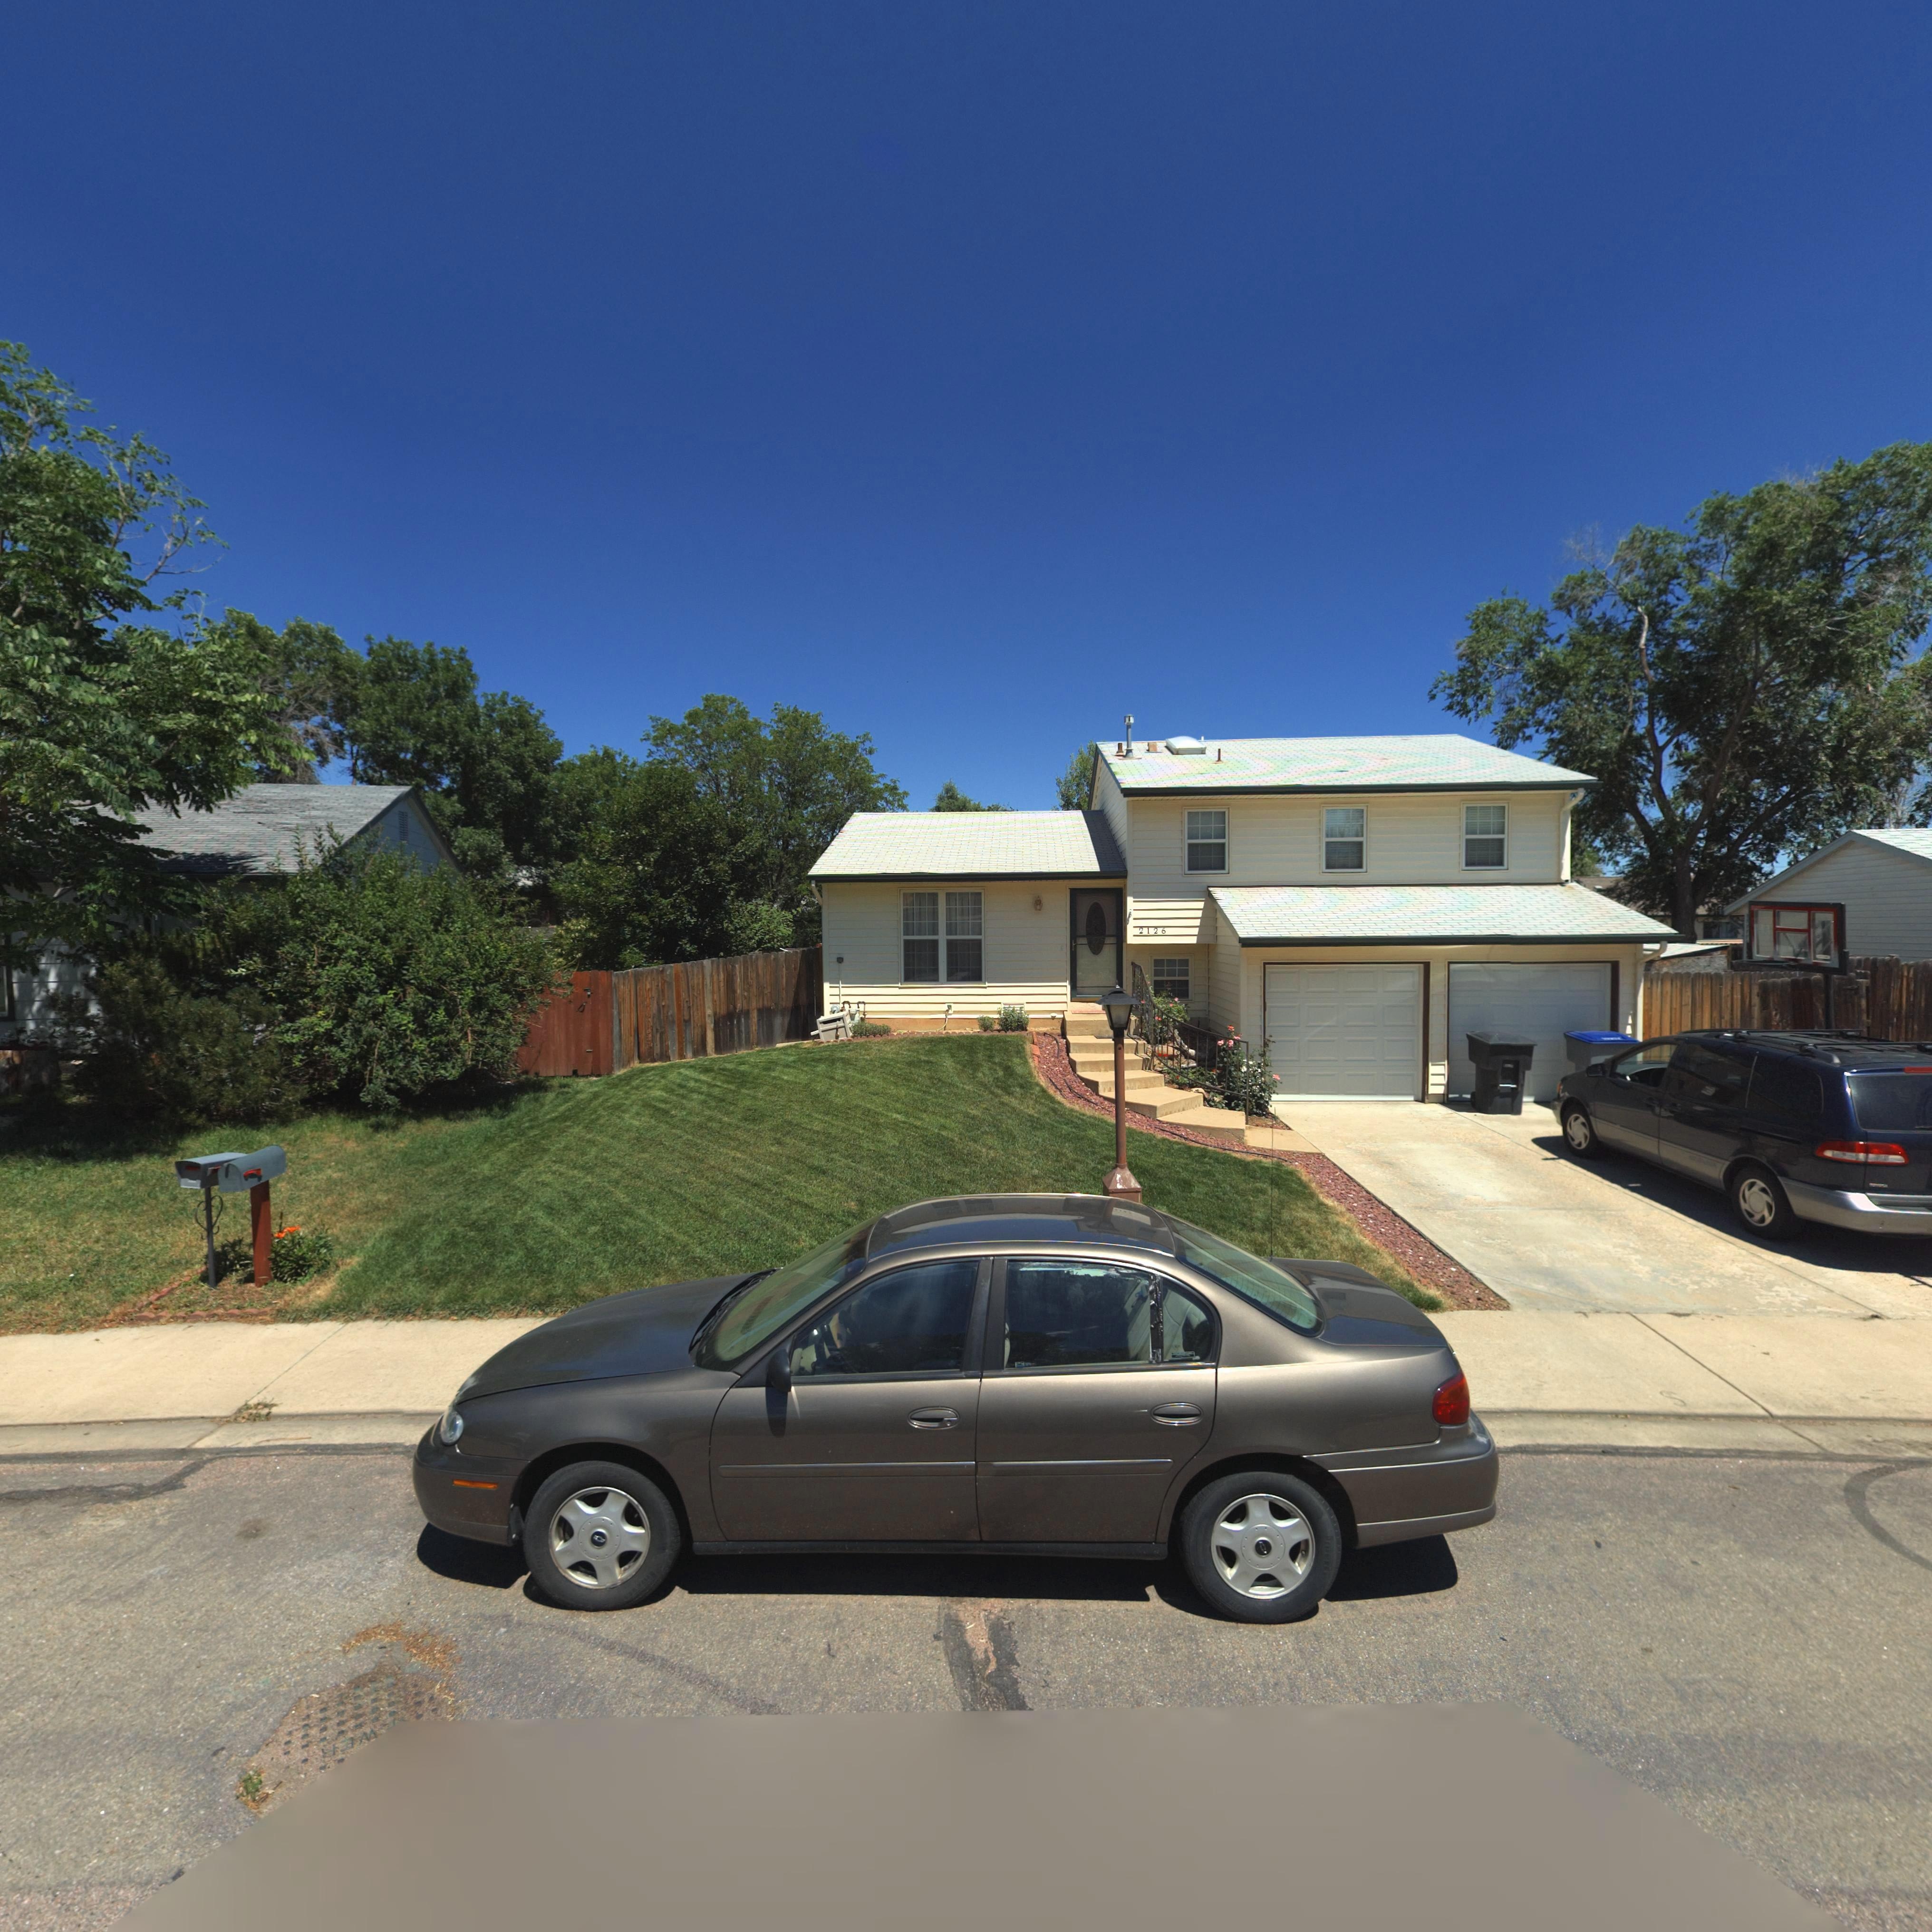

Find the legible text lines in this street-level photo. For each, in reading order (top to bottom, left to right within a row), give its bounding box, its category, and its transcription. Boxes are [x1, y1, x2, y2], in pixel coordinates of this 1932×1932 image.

[1138, 926, 1168, 935] StreetNumber: 2126